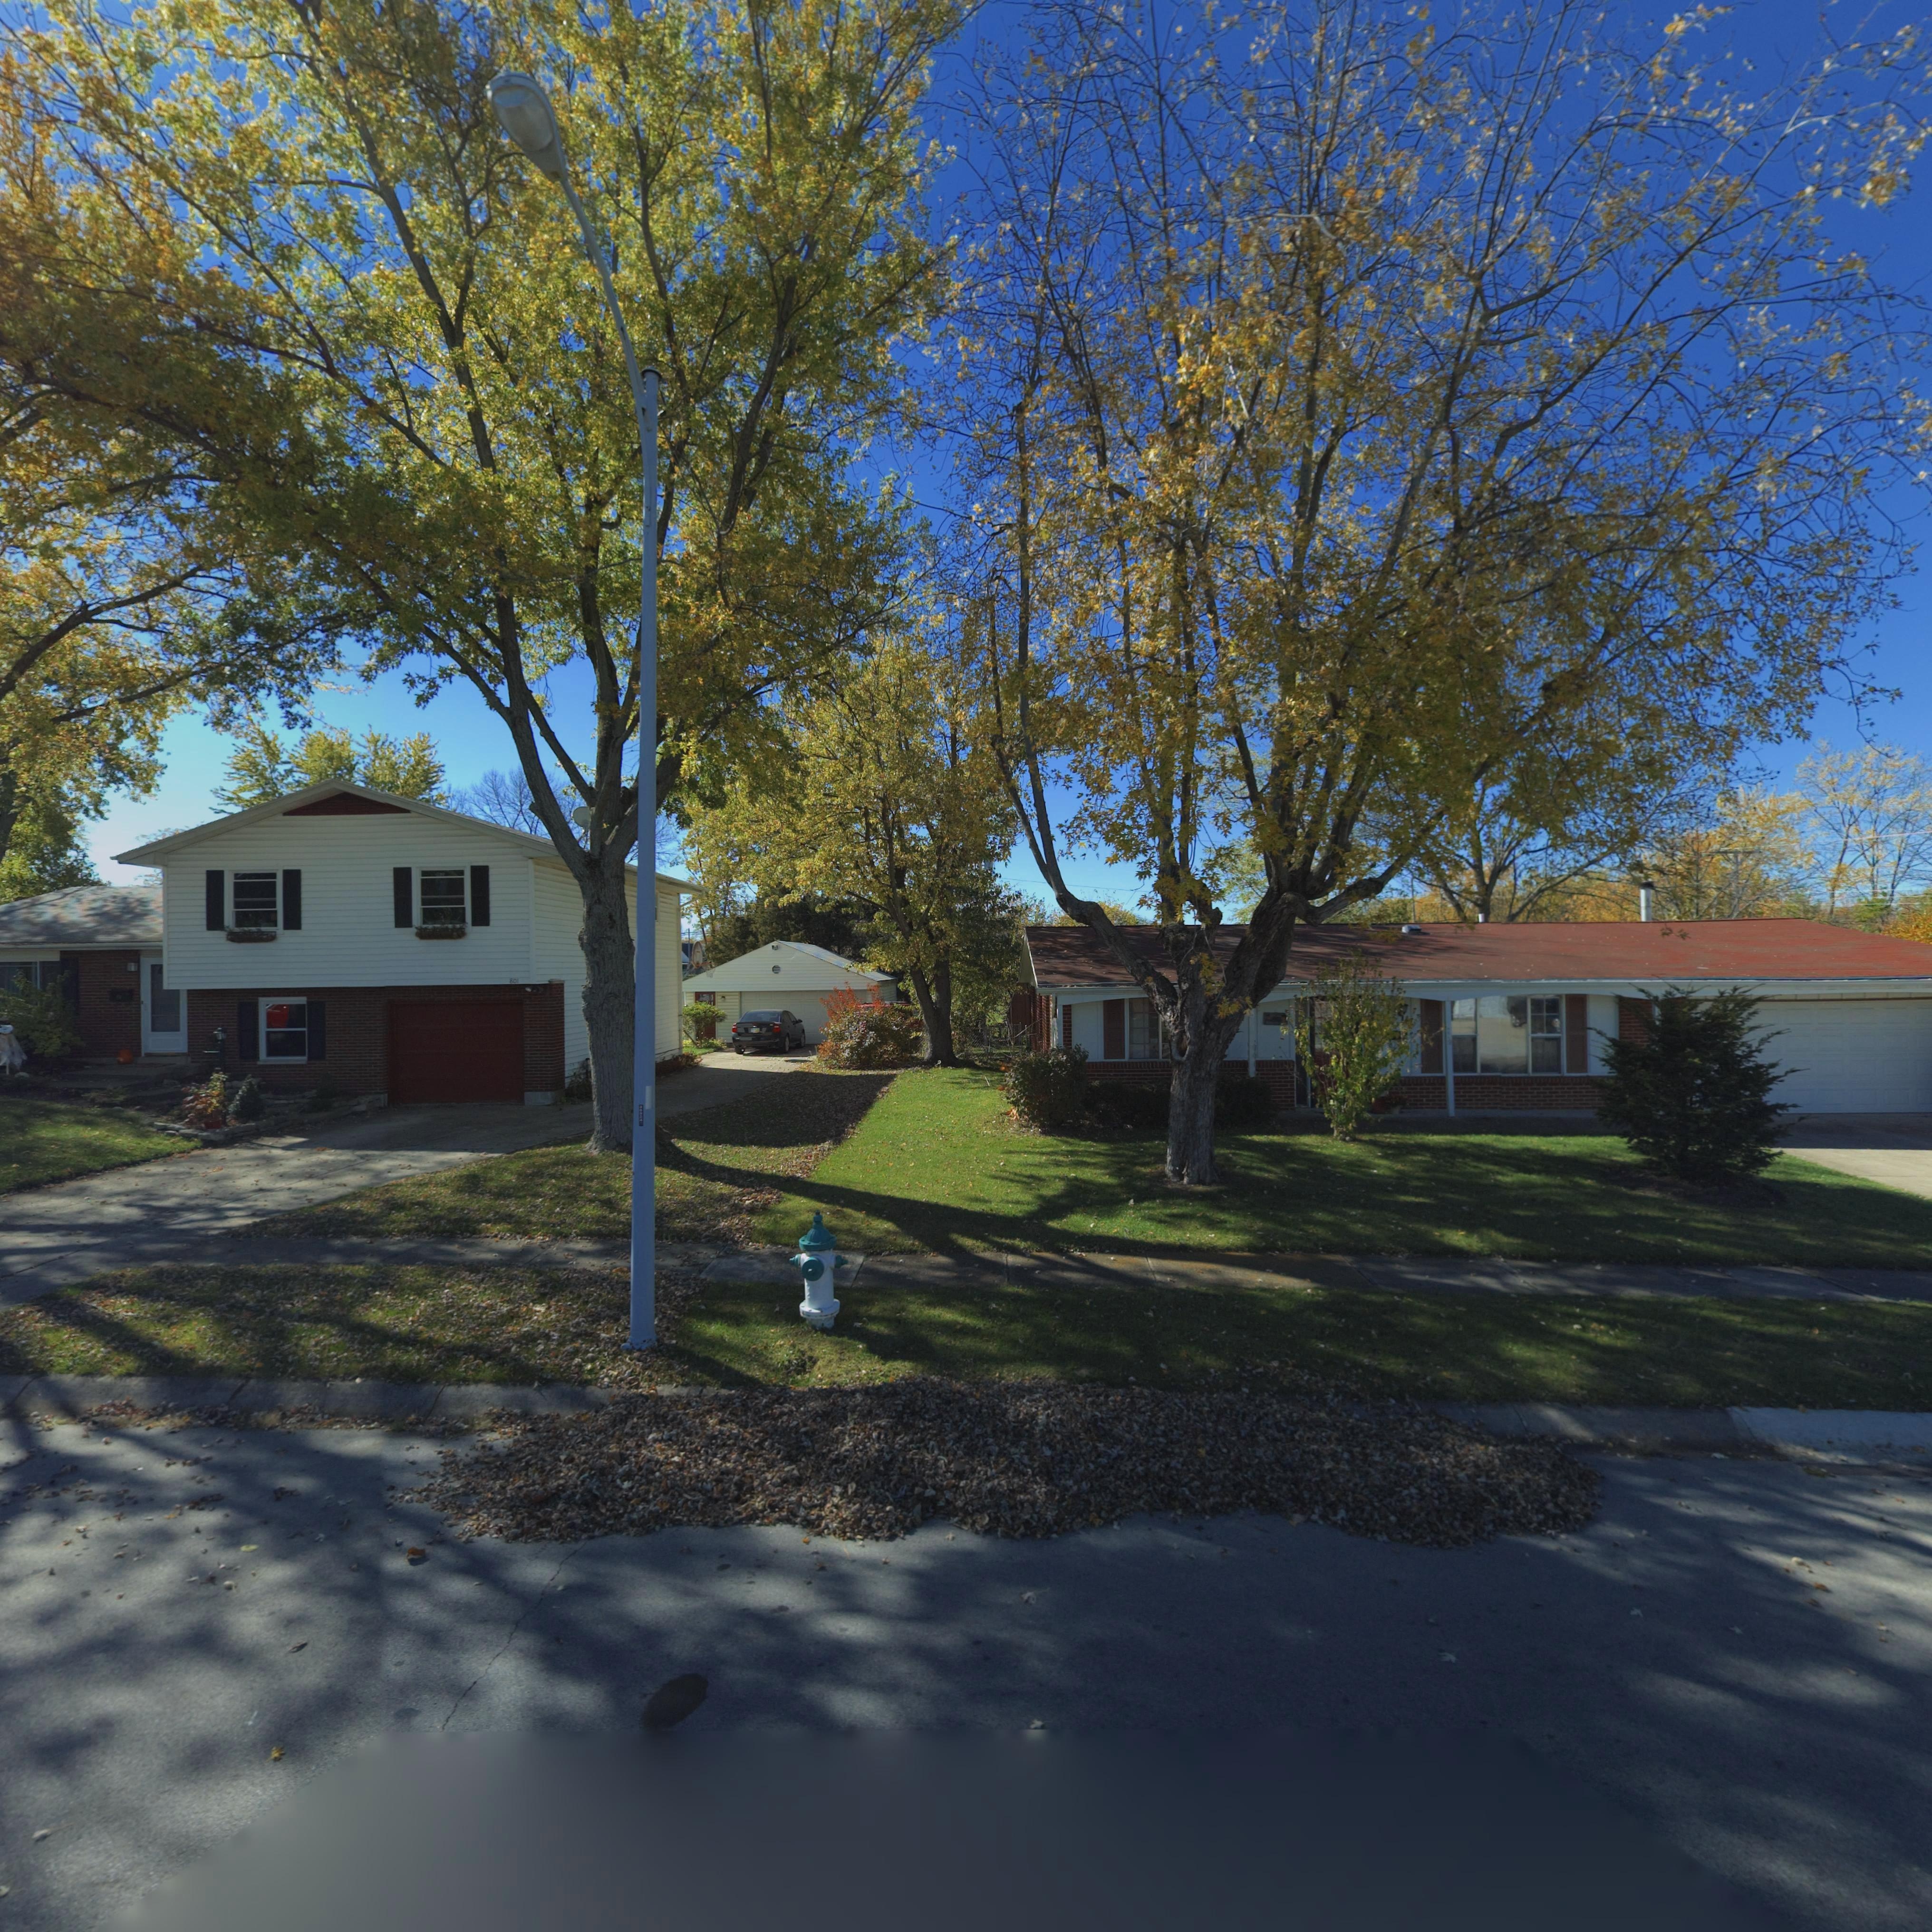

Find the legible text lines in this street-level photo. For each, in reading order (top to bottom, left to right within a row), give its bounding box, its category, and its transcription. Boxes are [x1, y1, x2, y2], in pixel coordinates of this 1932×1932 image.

[509, 977, 519, 984] StreetNumber: 801
[1446, 1027, 1452, 1045] StreetNumber: 7*9